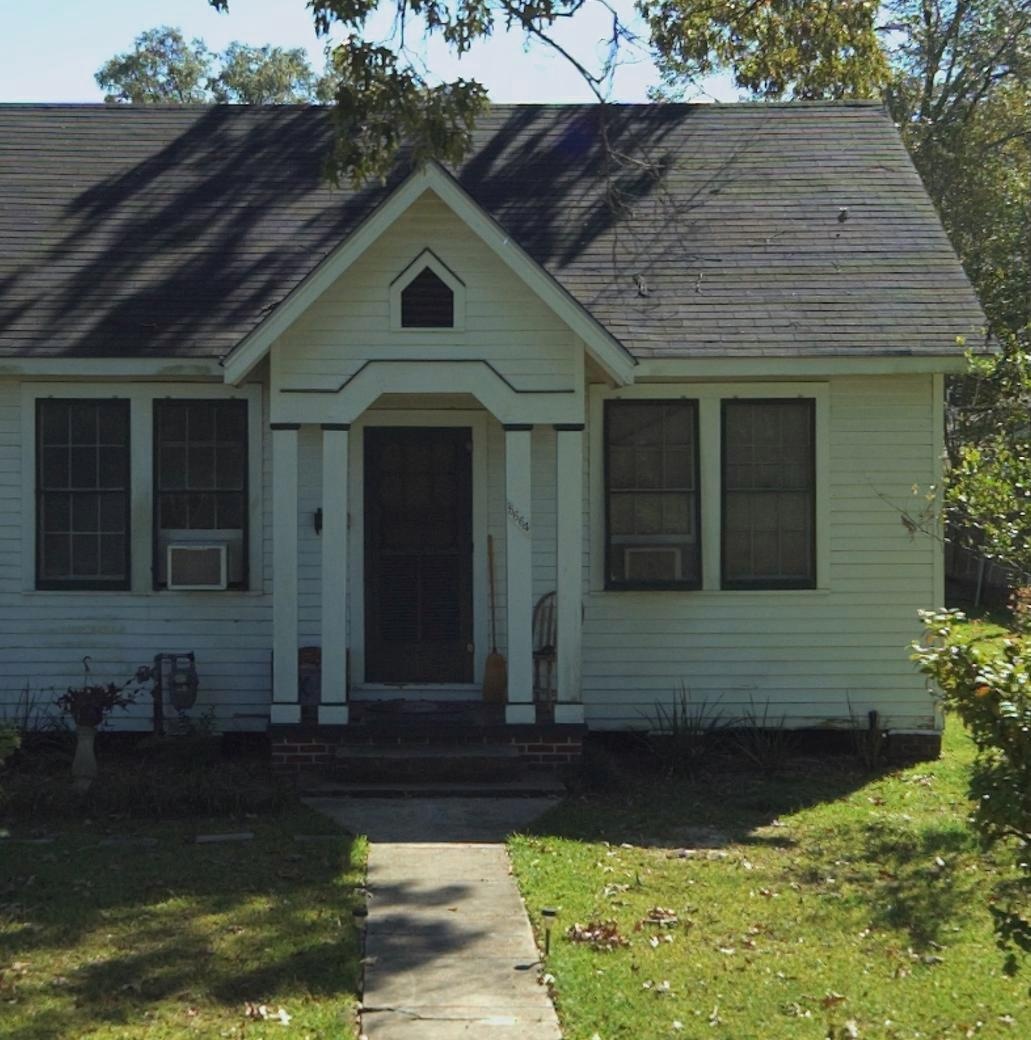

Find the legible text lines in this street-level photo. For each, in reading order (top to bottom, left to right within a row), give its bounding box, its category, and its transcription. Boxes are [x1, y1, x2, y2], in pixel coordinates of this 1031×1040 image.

[507, 504, 530, 532] StreetNumber: 5664